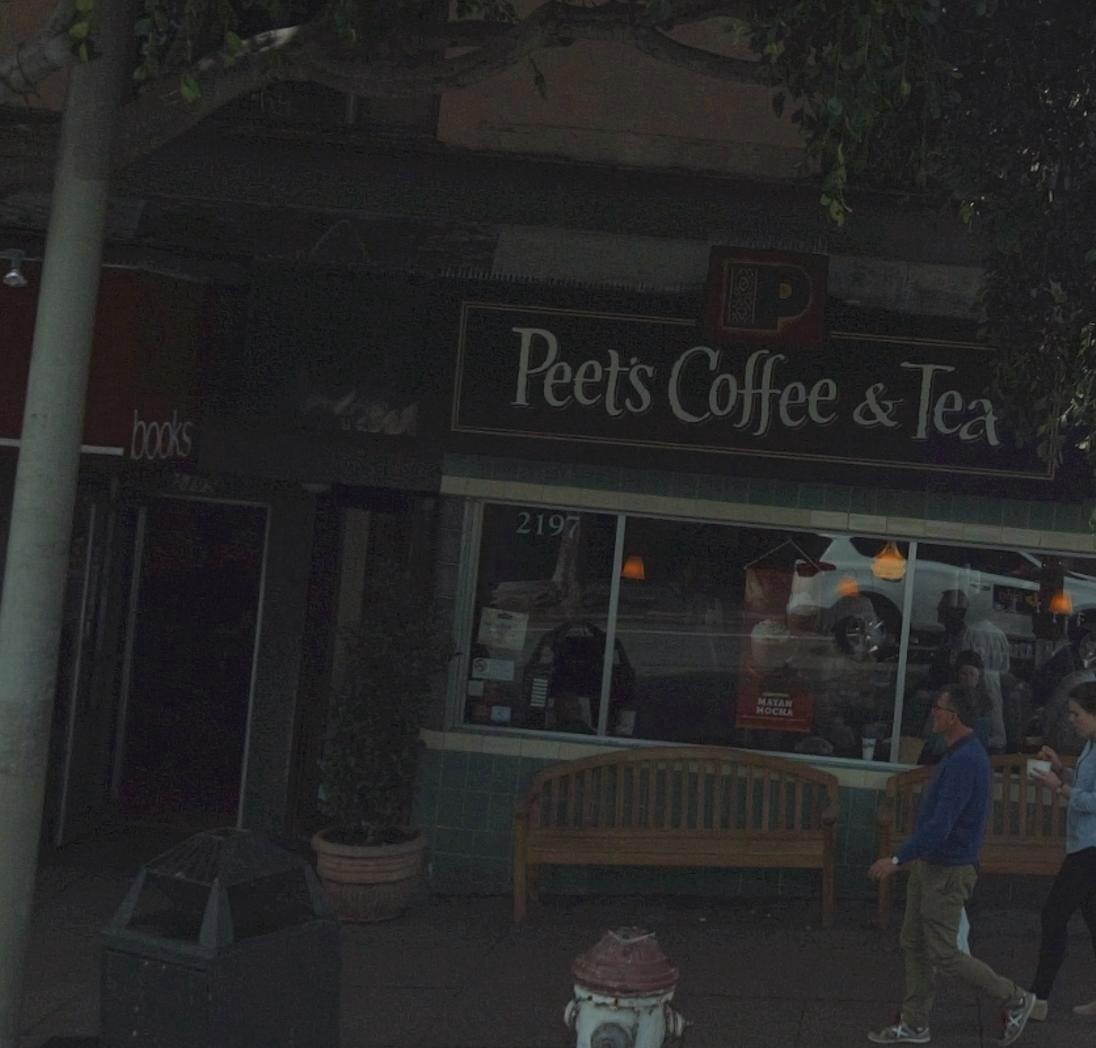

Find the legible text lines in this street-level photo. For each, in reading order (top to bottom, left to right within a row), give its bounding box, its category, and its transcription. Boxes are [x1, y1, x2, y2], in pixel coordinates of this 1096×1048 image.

[748, 260, 817, 337] None: P
[509, 318, 1006, 450] BusinessName: Peet's Coffee & tea
[128, 406, 195, 464] None: books
[511, 508, 587, 543] StreetNumber: 2197
[755, 695, 795, 709] None: MAYAN
[754, 705, 796, 718] None: MOCHA